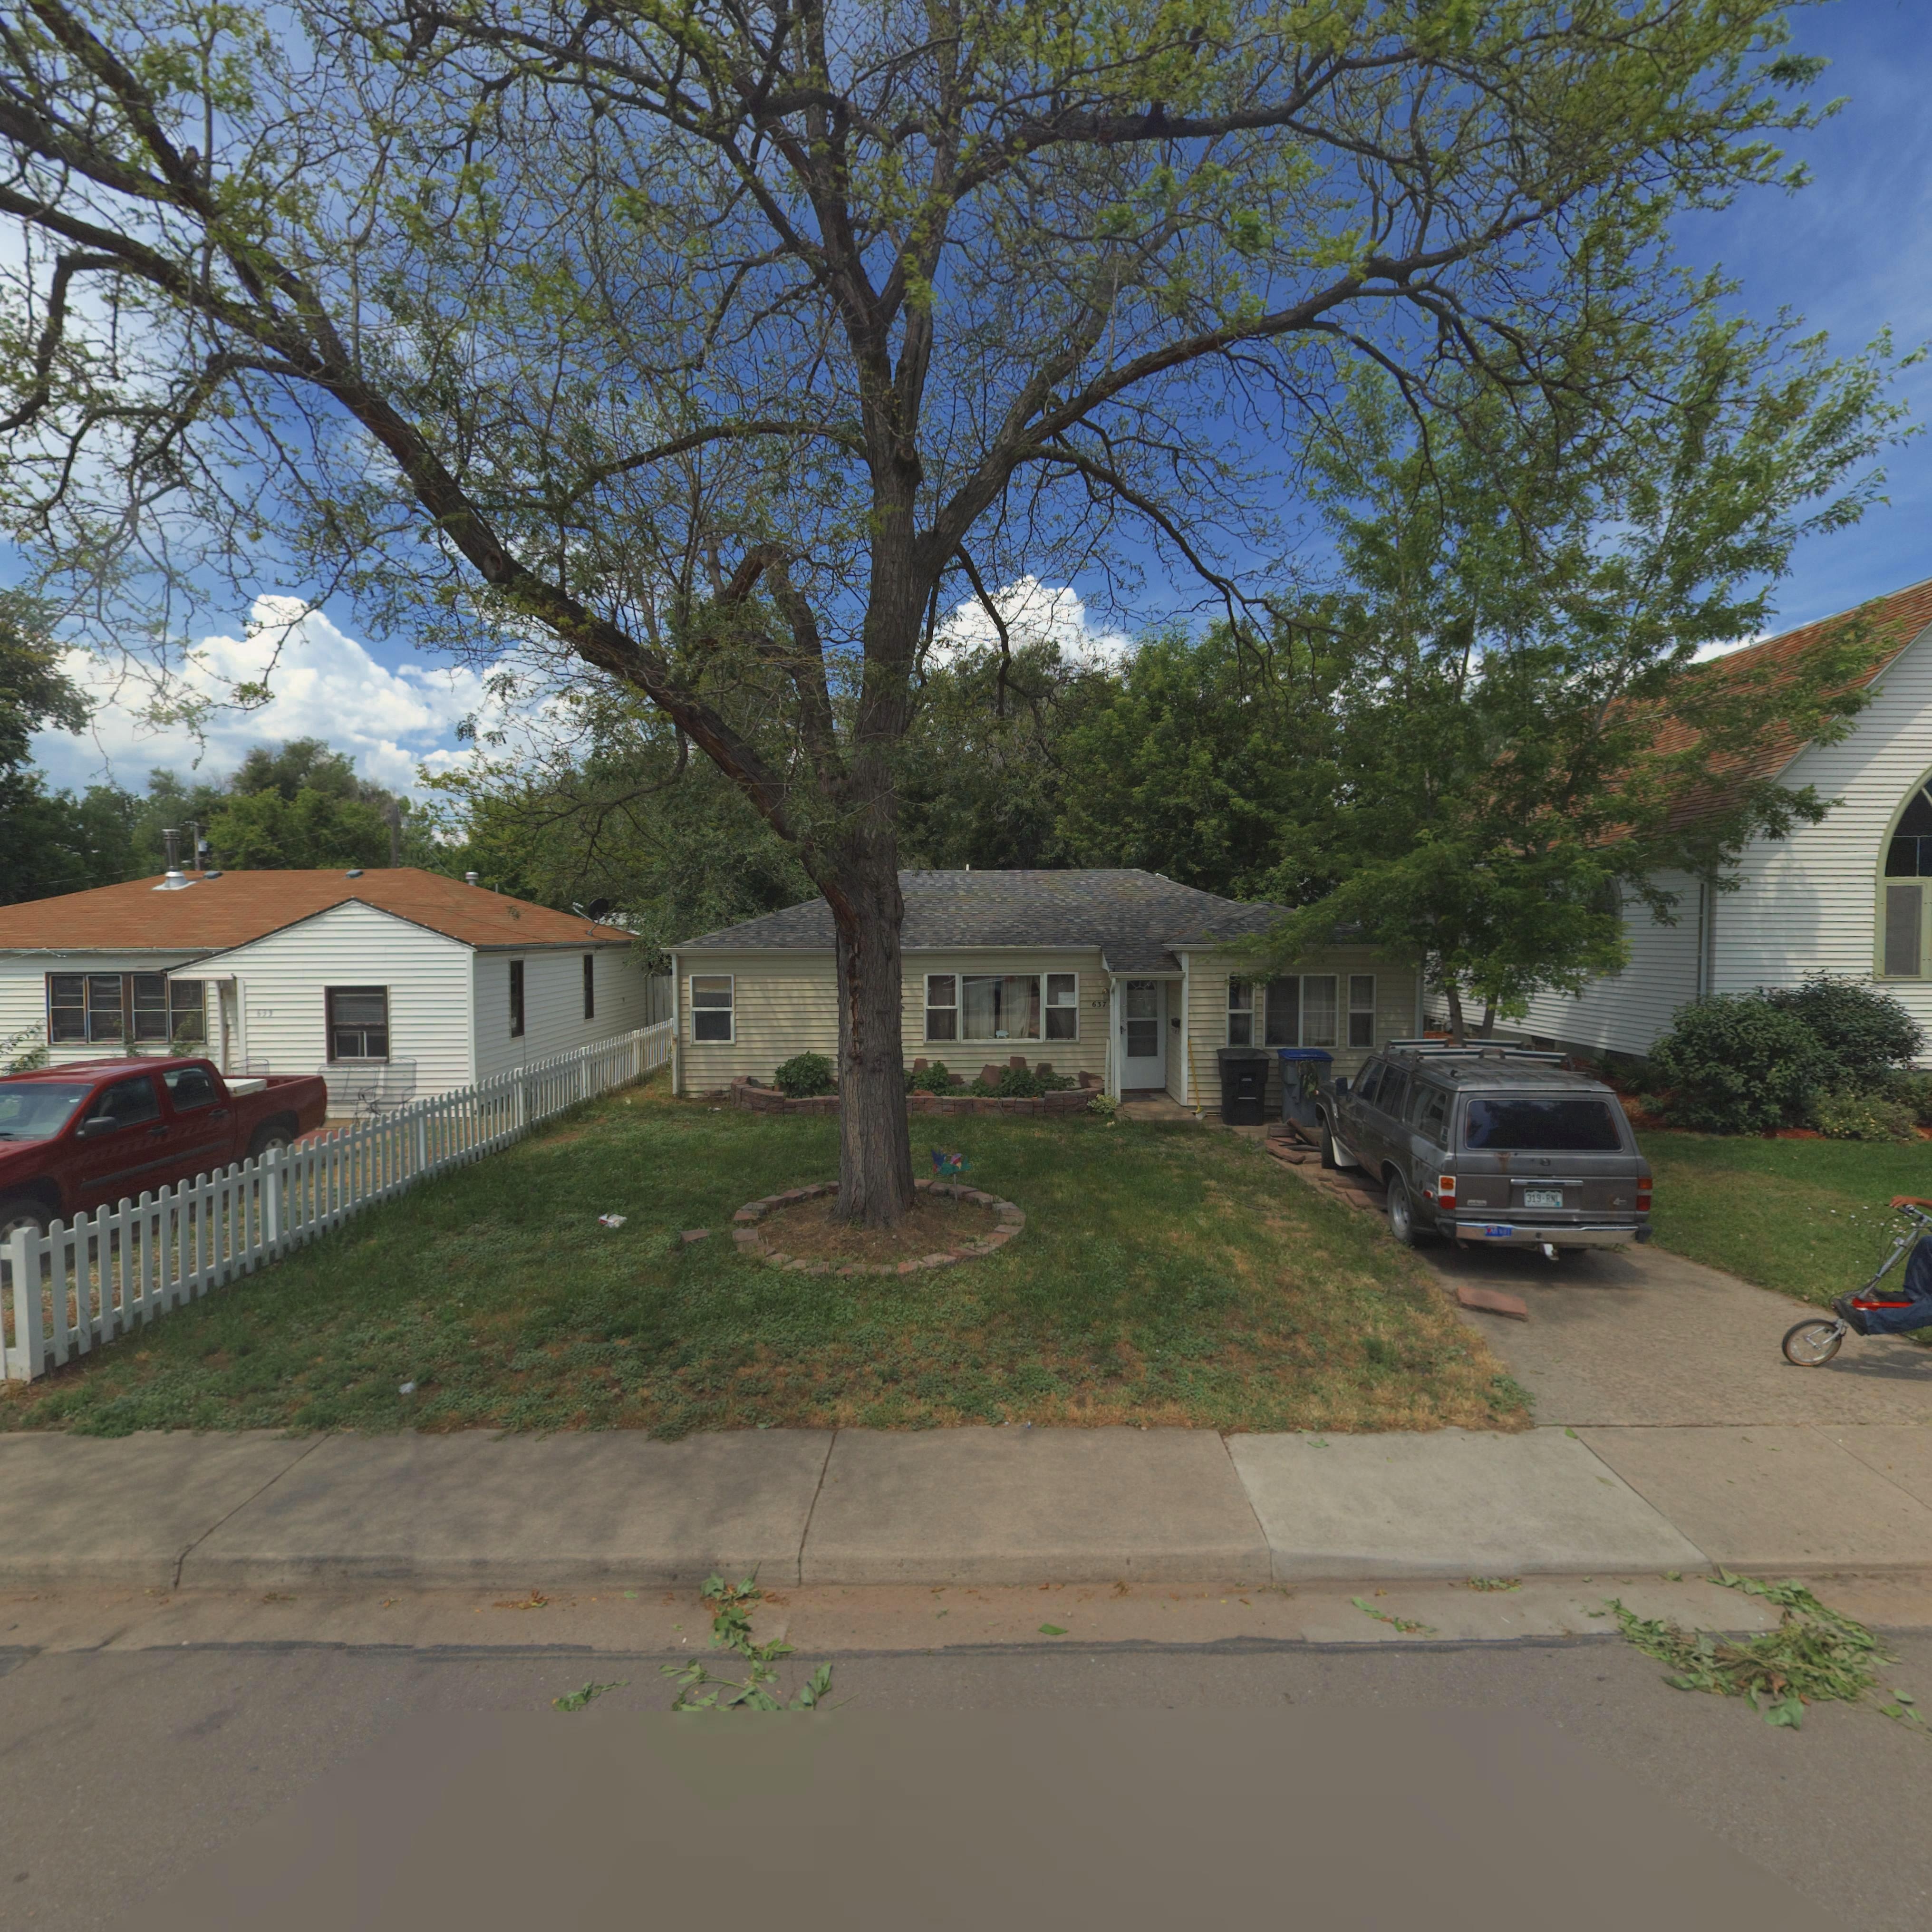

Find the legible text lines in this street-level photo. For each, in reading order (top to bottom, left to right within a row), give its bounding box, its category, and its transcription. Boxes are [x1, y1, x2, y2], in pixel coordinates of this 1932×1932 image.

[1092, 1001, 1106, 1007] StreetNumber: 637
[256, 1008, 272, 1017] StreetNumber: 633